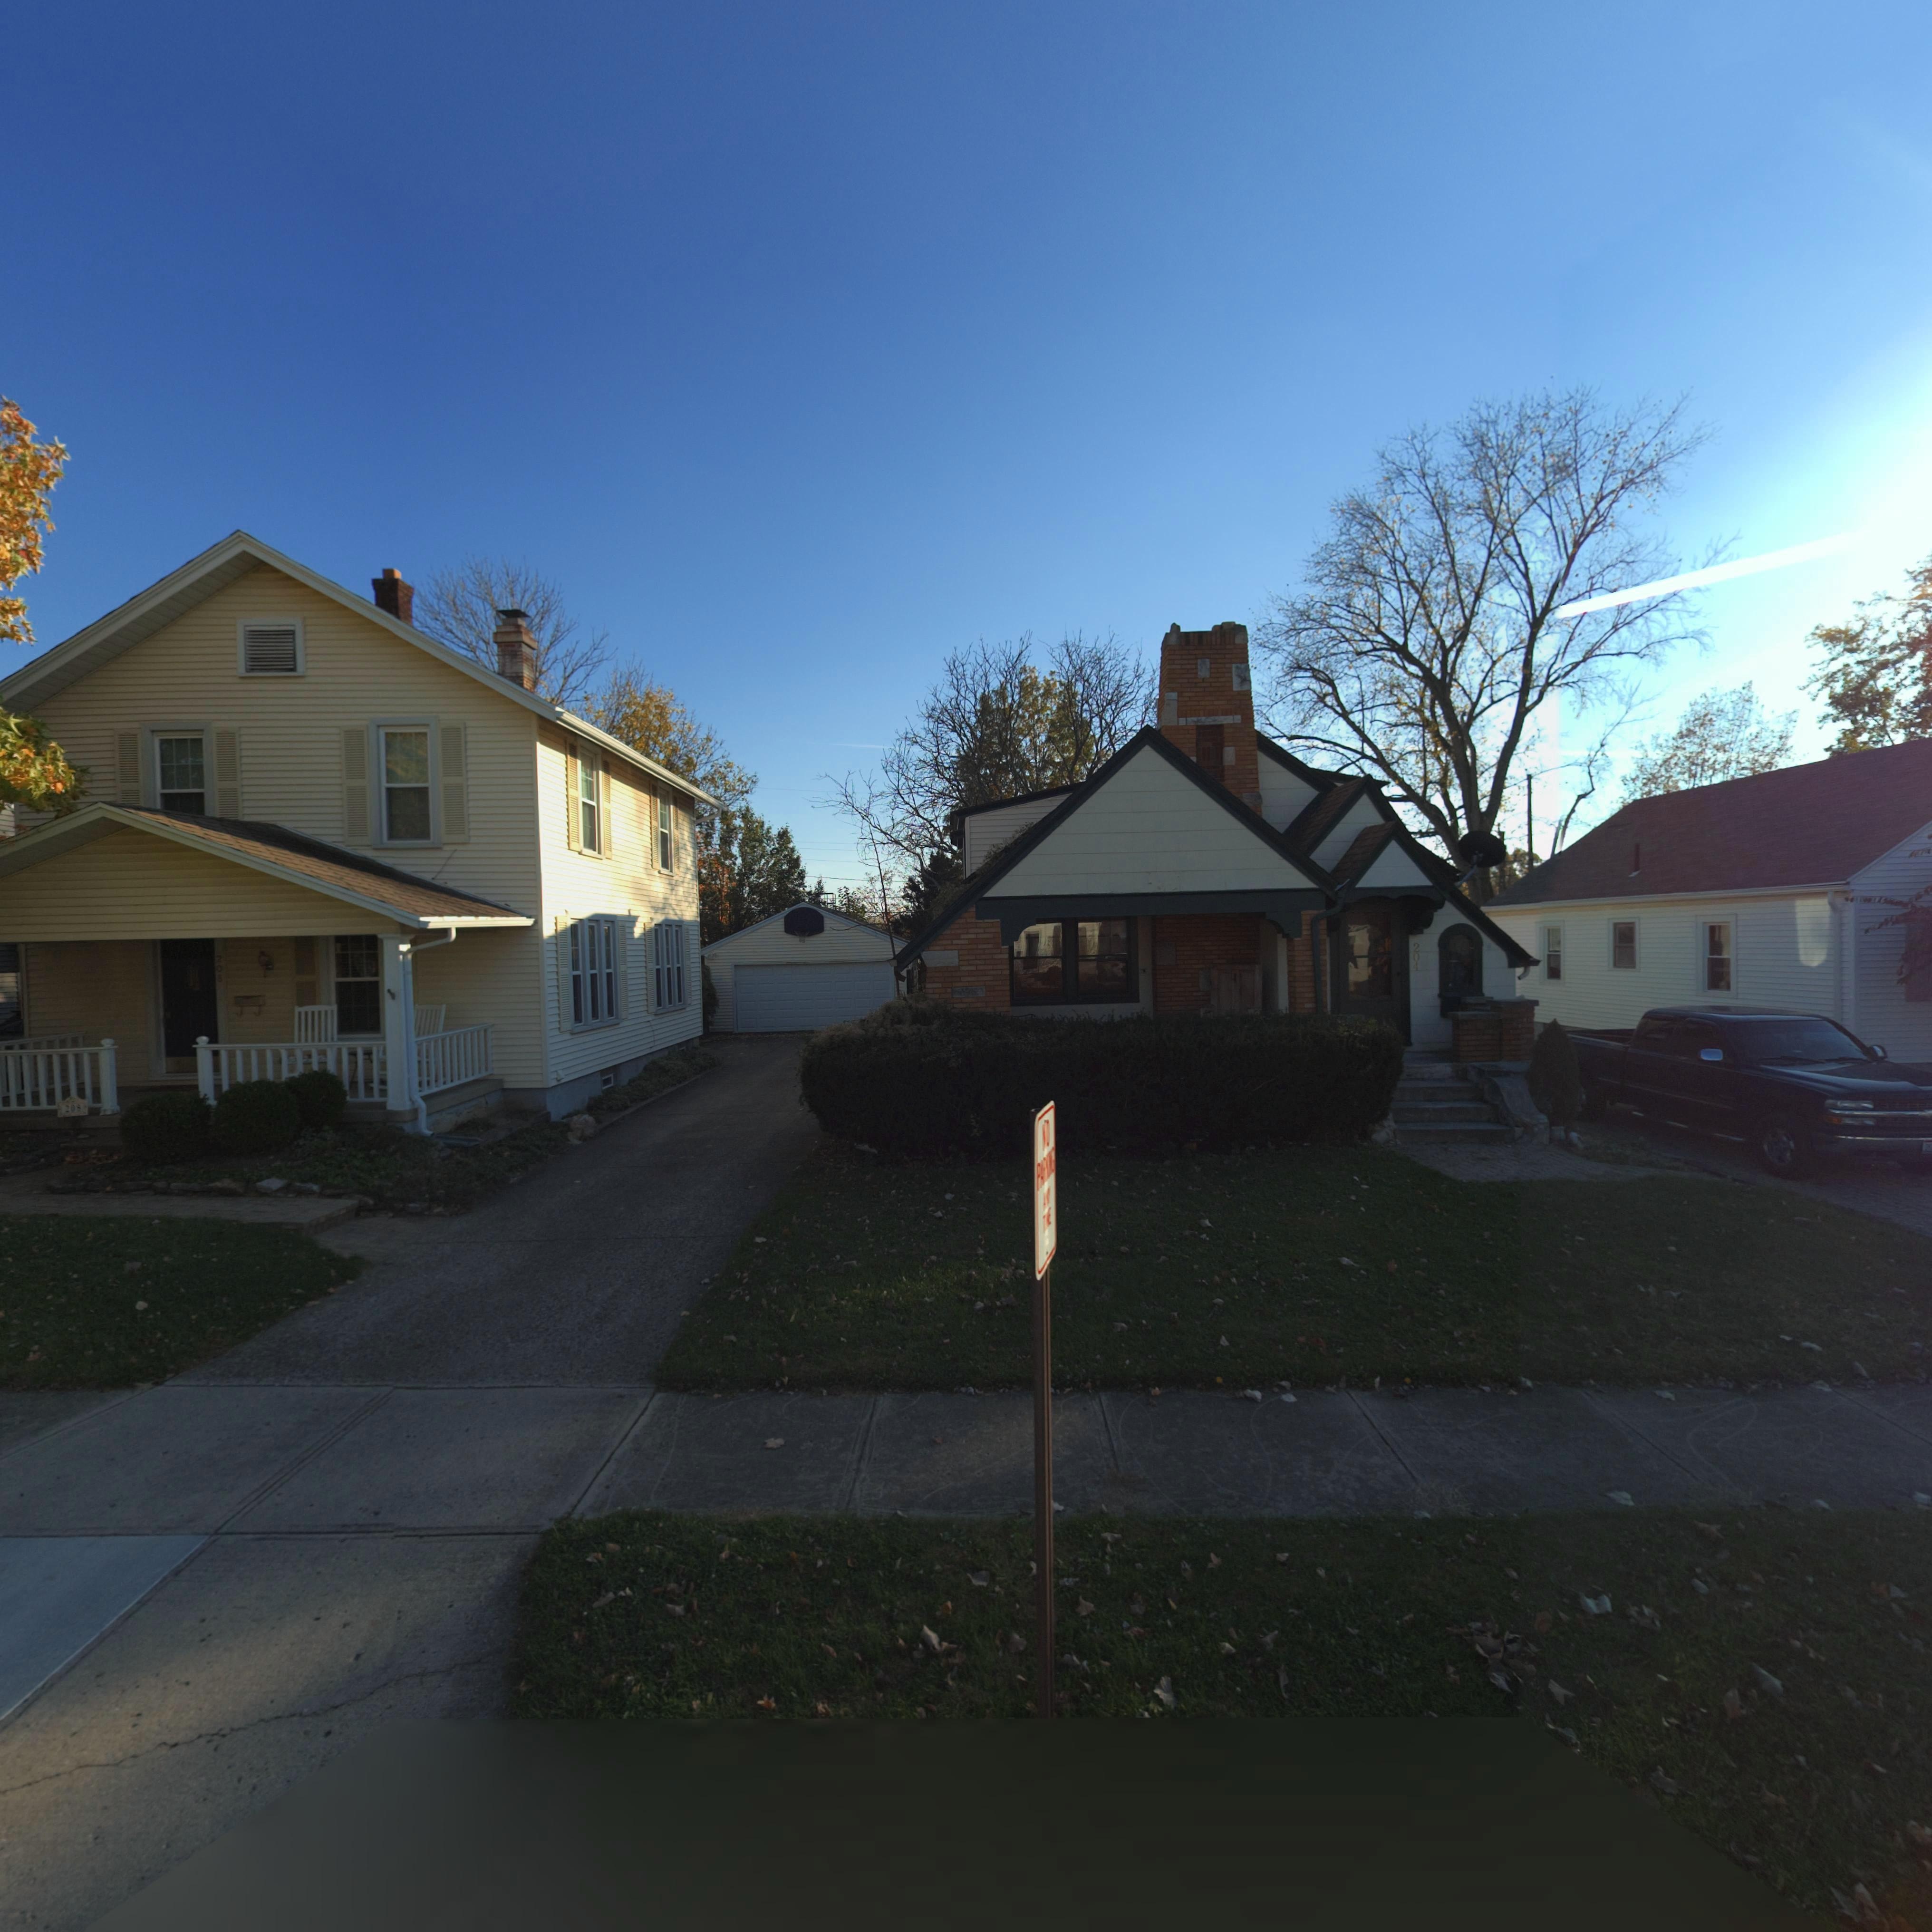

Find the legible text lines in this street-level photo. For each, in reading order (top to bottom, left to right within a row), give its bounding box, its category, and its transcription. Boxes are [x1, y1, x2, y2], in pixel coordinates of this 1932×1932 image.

[214, 953, 224, 984] StreetNumber: 208
[1410, 940, 1421, 974] StreetNumber: 204
[63, 1103, 83, 1114] StreetNumber: 208